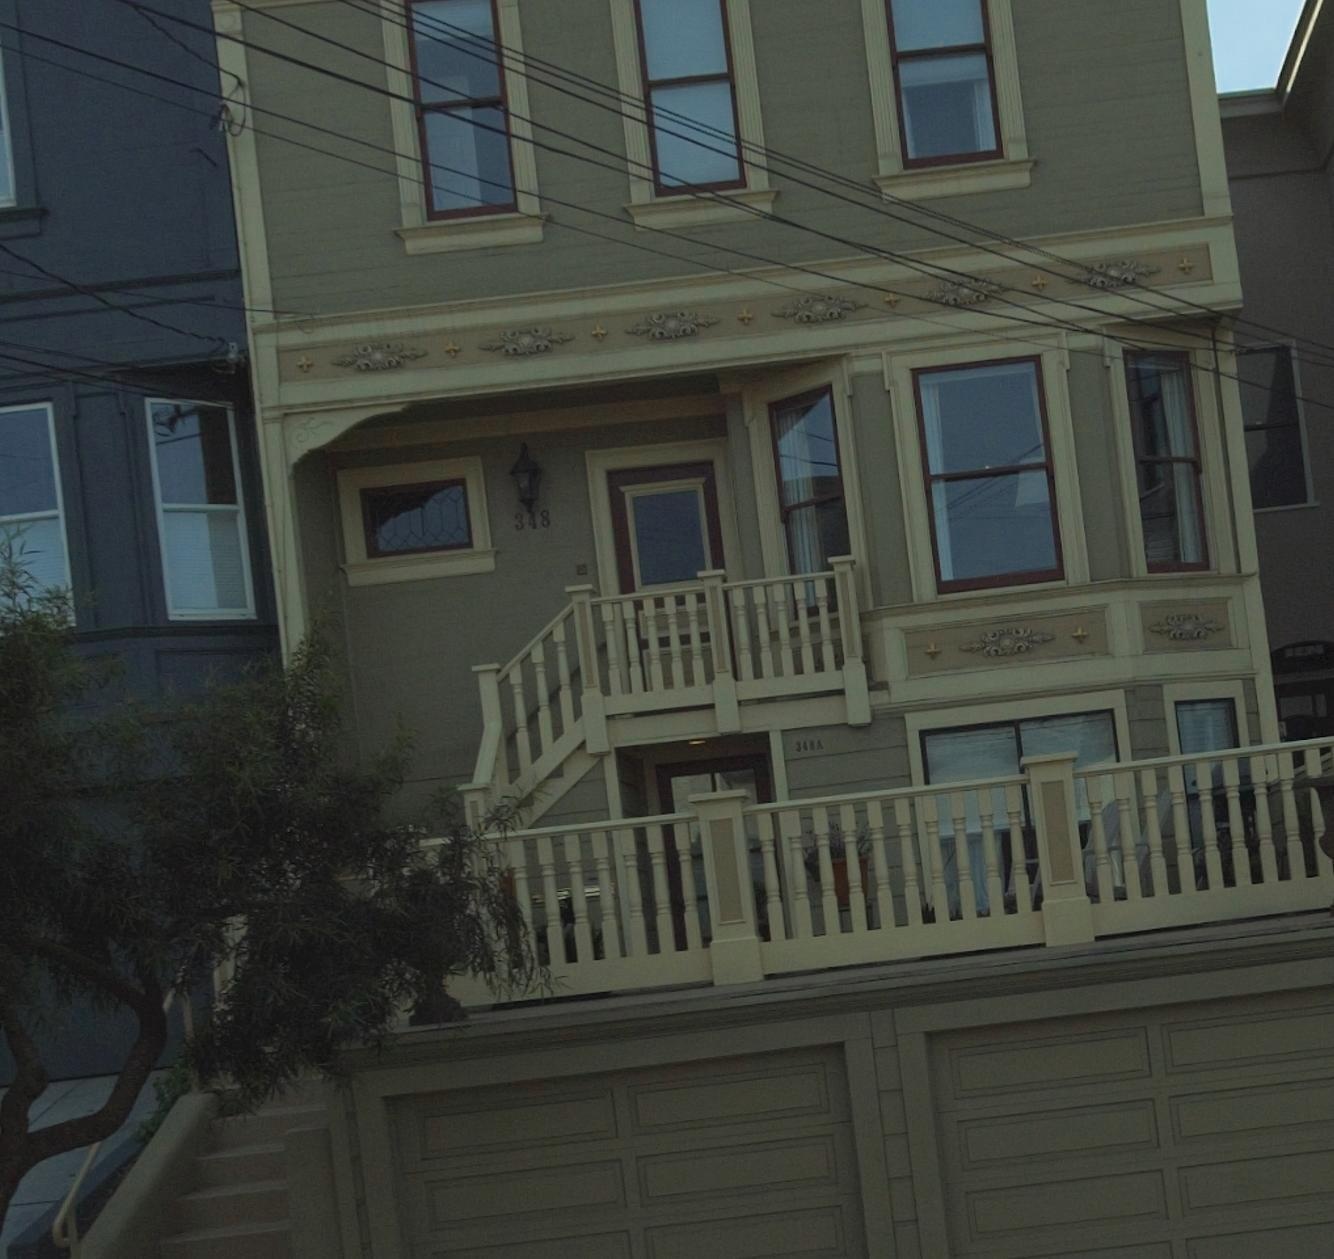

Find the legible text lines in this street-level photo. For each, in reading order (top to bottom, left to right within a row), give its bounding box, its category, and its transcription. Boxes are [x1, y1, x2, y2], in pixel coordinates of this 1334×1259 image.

[514, 507, 552, 531] StreetNumber: 348
[795, 739, 824, 752] StreetNumber: 348A